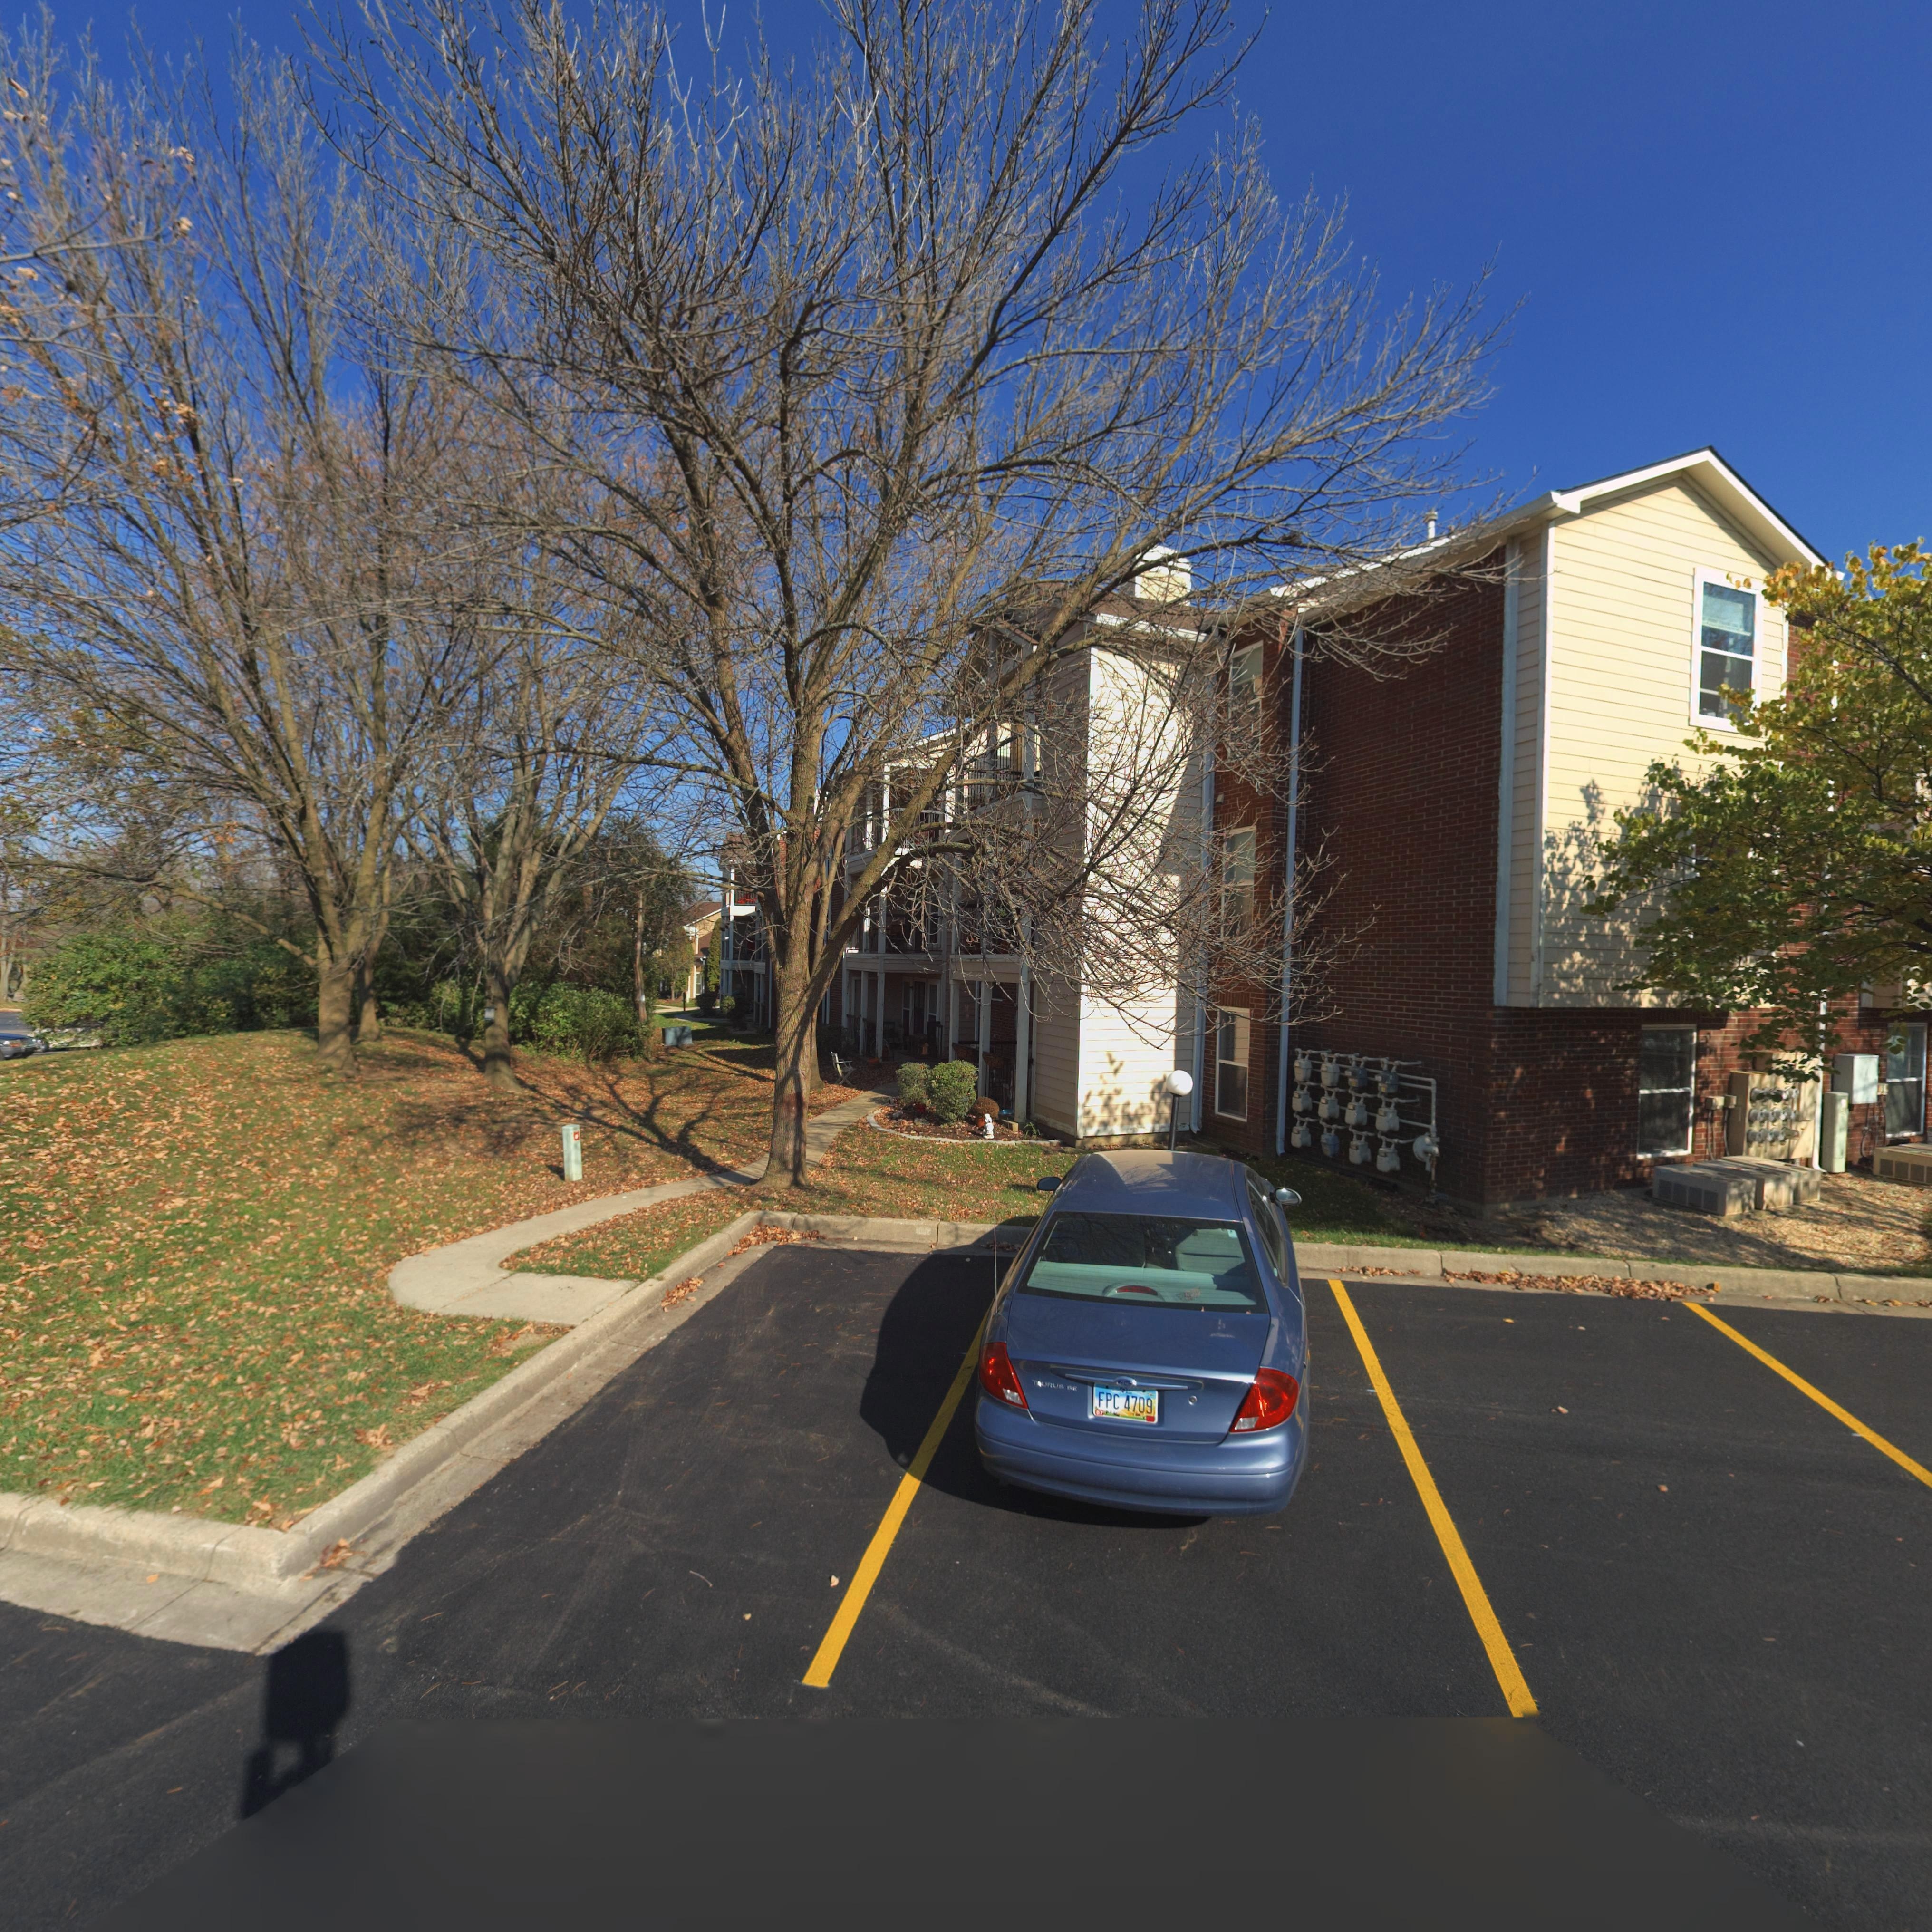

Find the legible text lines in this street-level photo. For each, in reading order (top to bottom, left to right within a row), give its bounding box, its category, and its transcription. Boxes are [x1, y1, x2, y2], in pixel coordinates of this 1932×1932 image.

[1030, 1379, 1066, 1391] None: T*URUS
[1097, 1391, 1154, 1415] None: FPC 4709